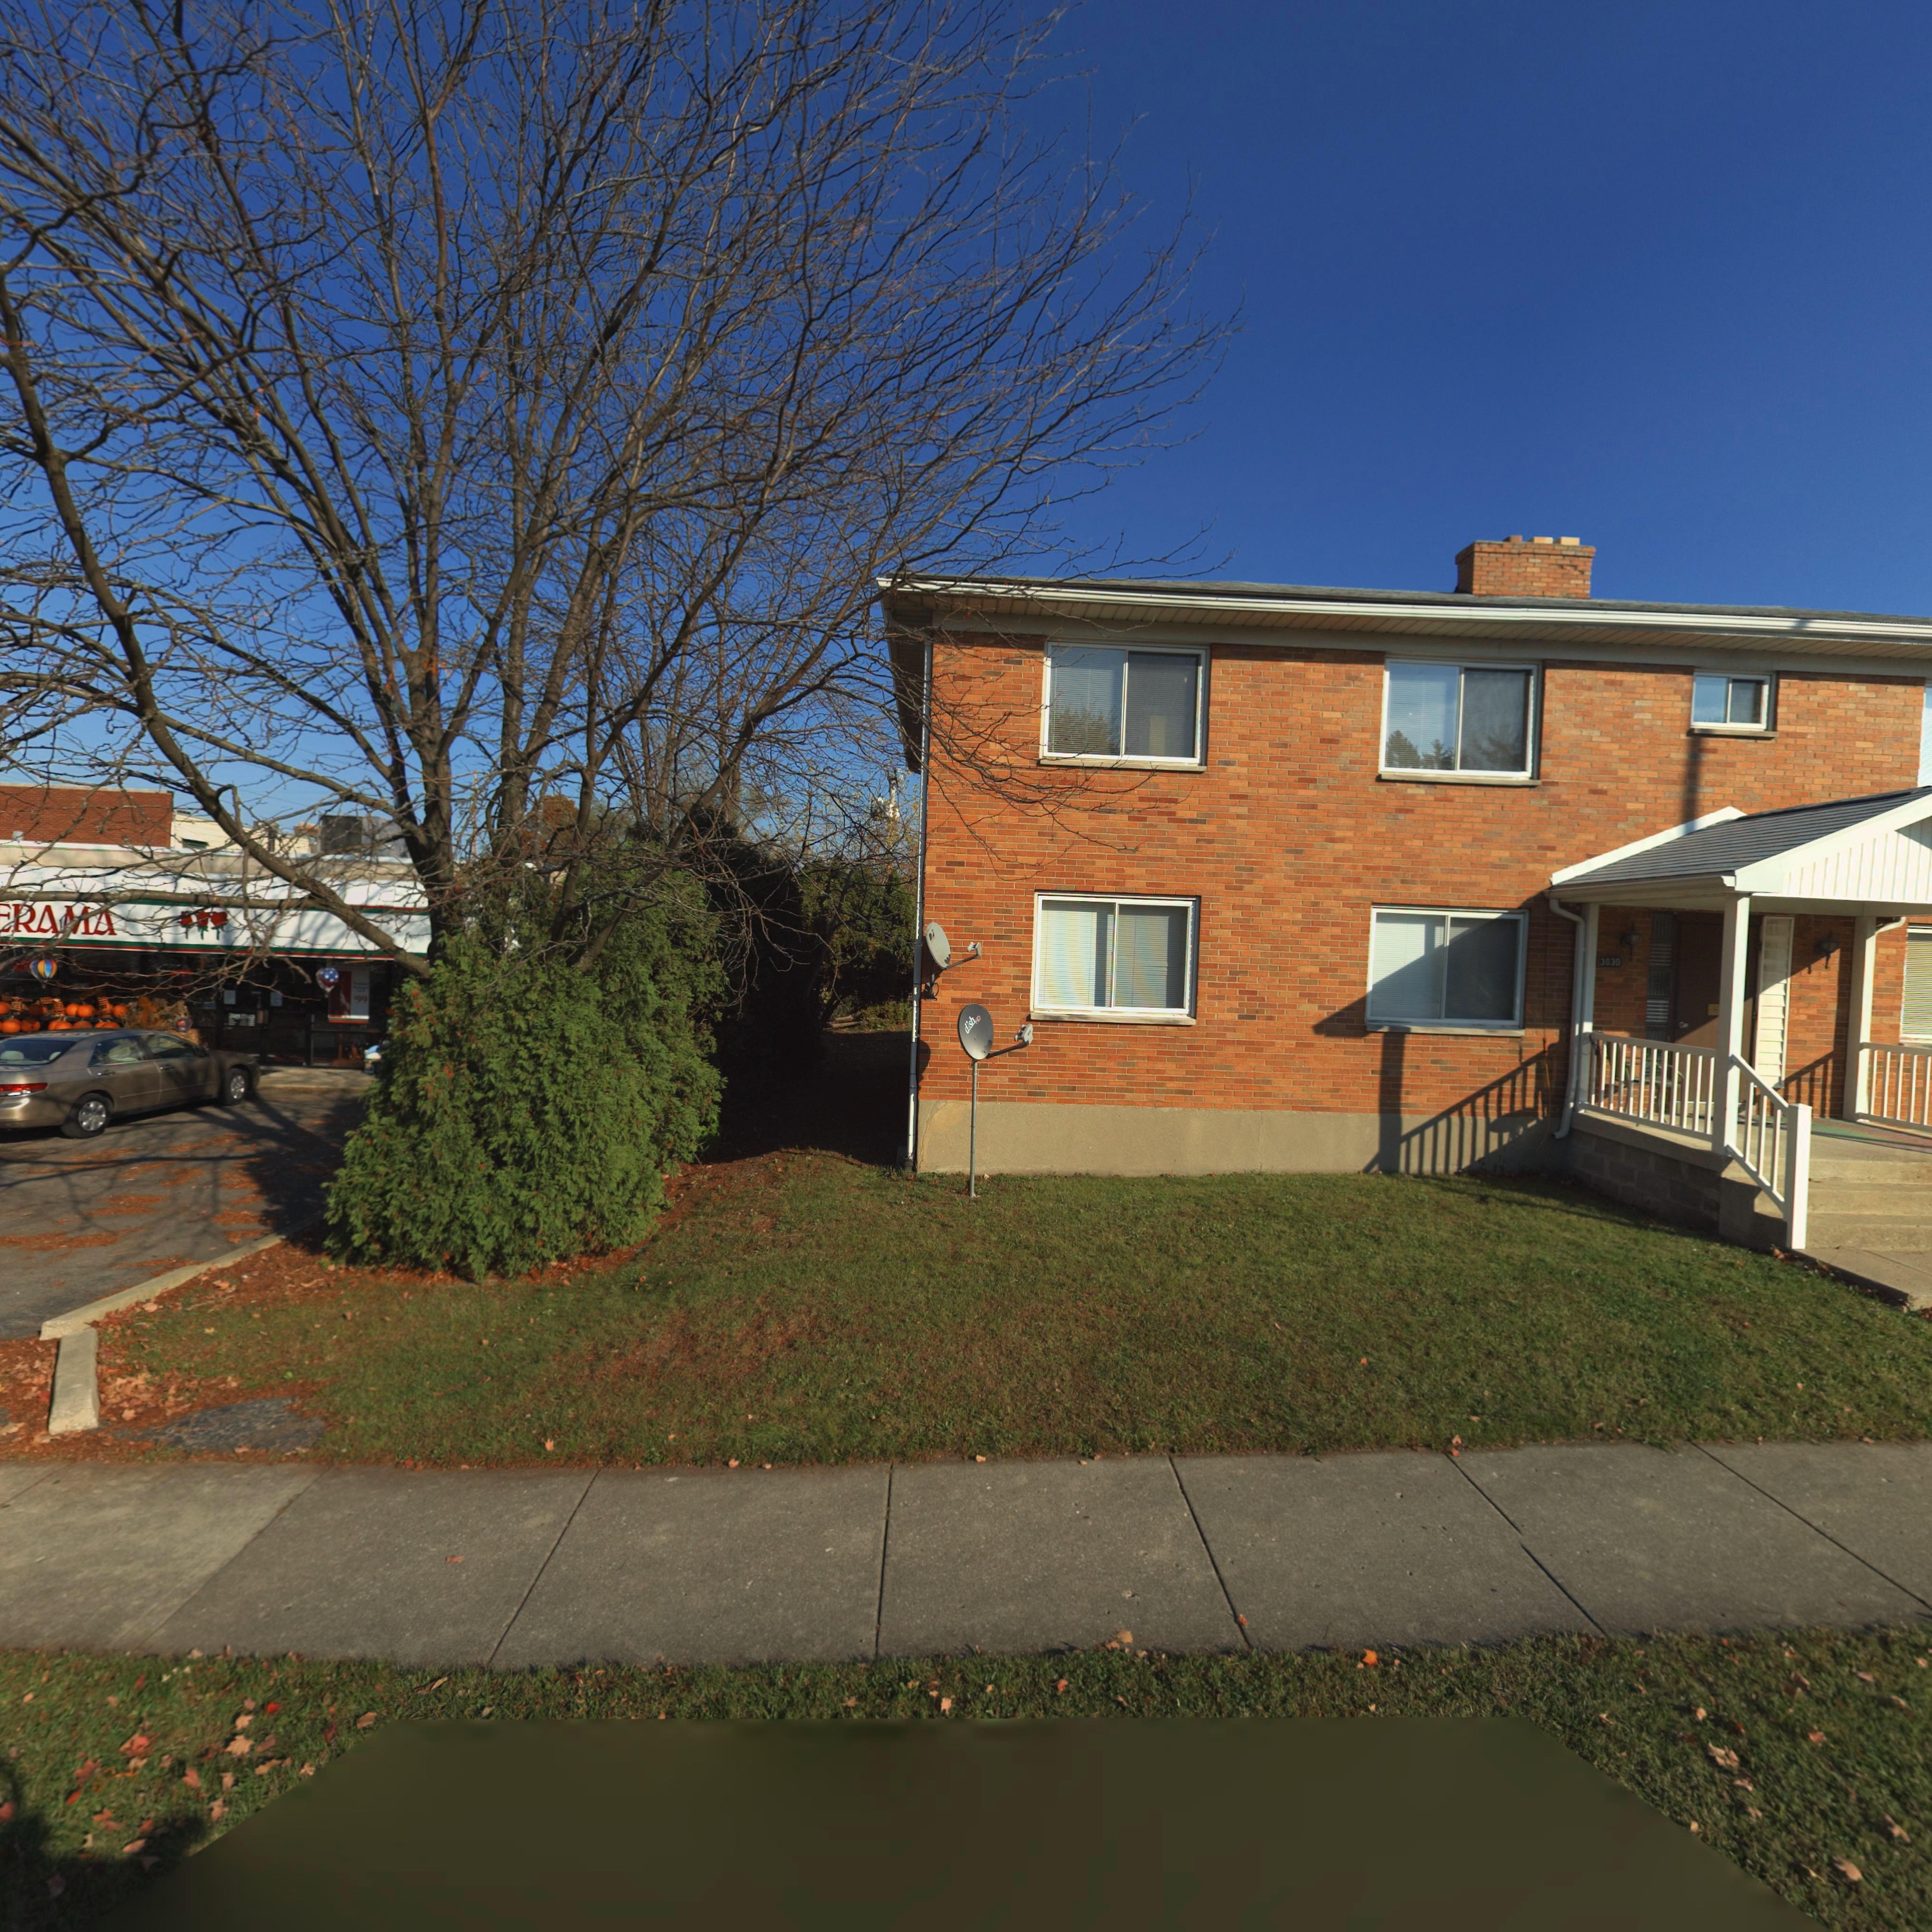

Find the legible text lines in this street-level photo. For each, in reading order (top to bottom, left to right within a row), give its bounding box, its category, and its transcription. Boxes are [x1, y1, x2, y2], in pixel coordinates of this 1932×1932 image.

[10, 902, 119, 936] BusinessName: RA*A
[1600, 956, 1621, 967] StreetNumber: 3030